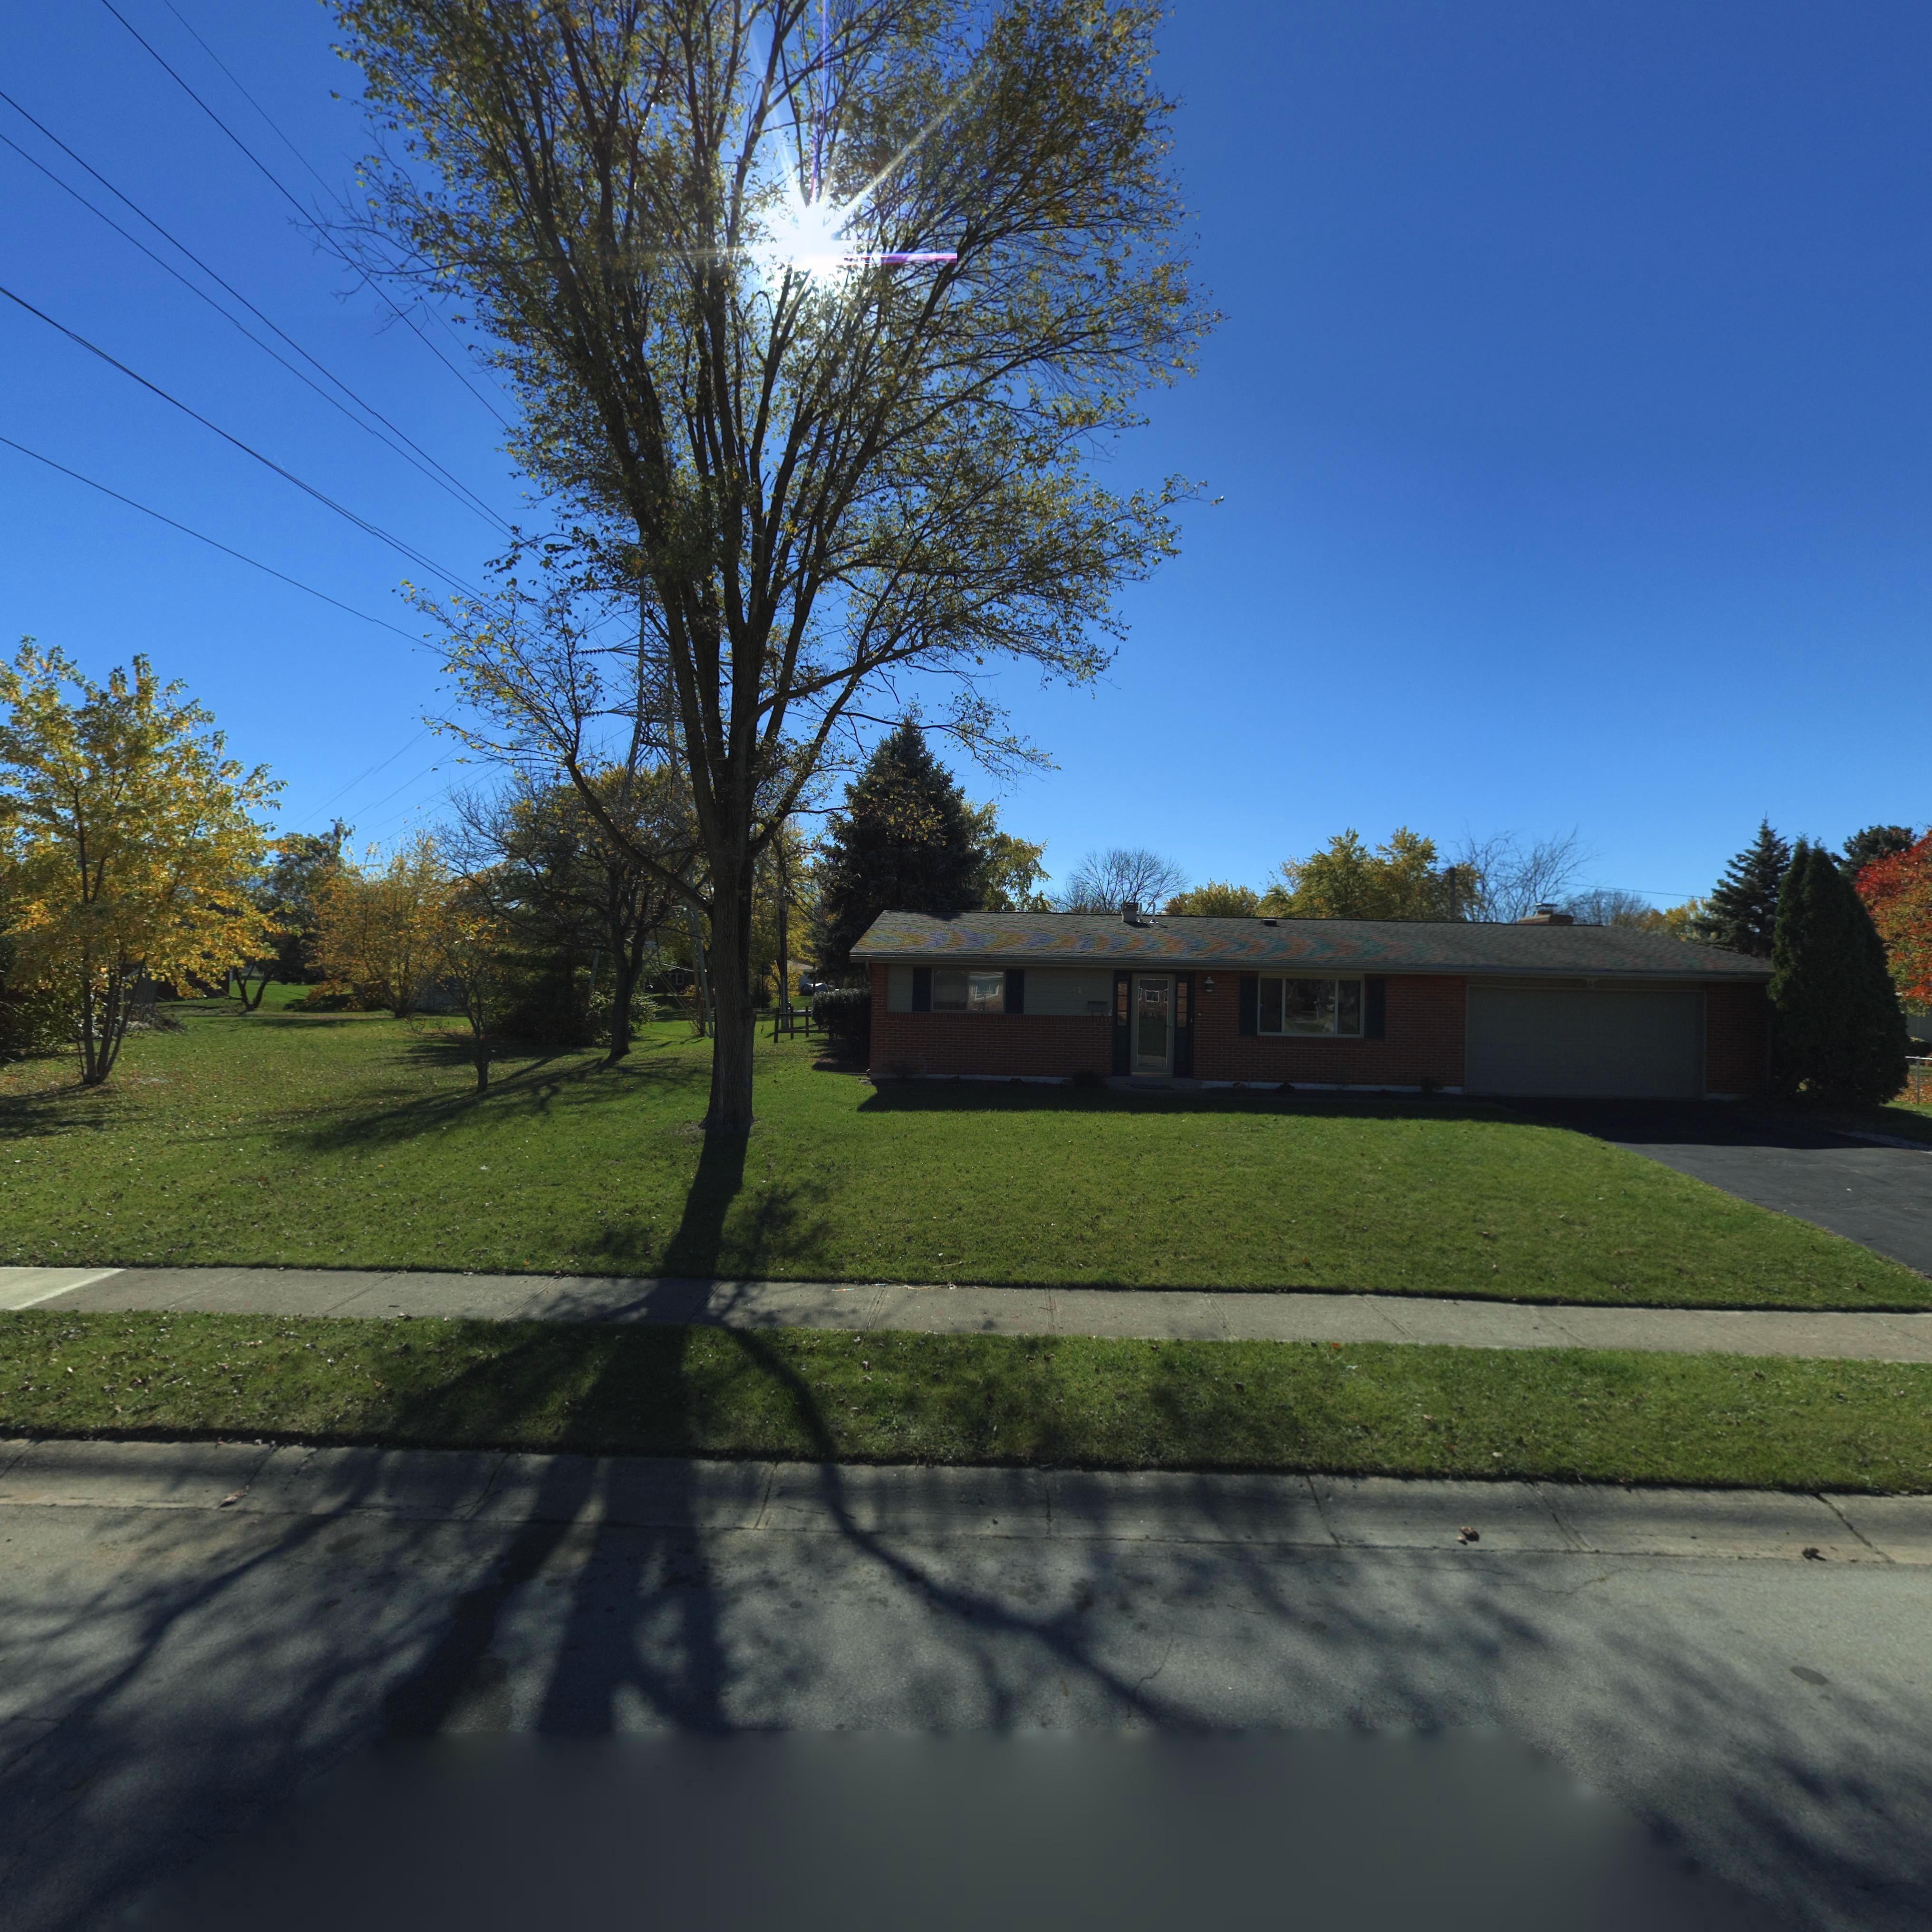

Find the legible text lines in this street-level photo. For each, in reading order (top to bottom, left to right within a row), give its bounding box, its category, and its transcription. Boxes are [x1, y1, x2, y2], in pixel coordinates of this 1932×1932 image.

[1071, 985, 1089, 994] StreetNumber: 424